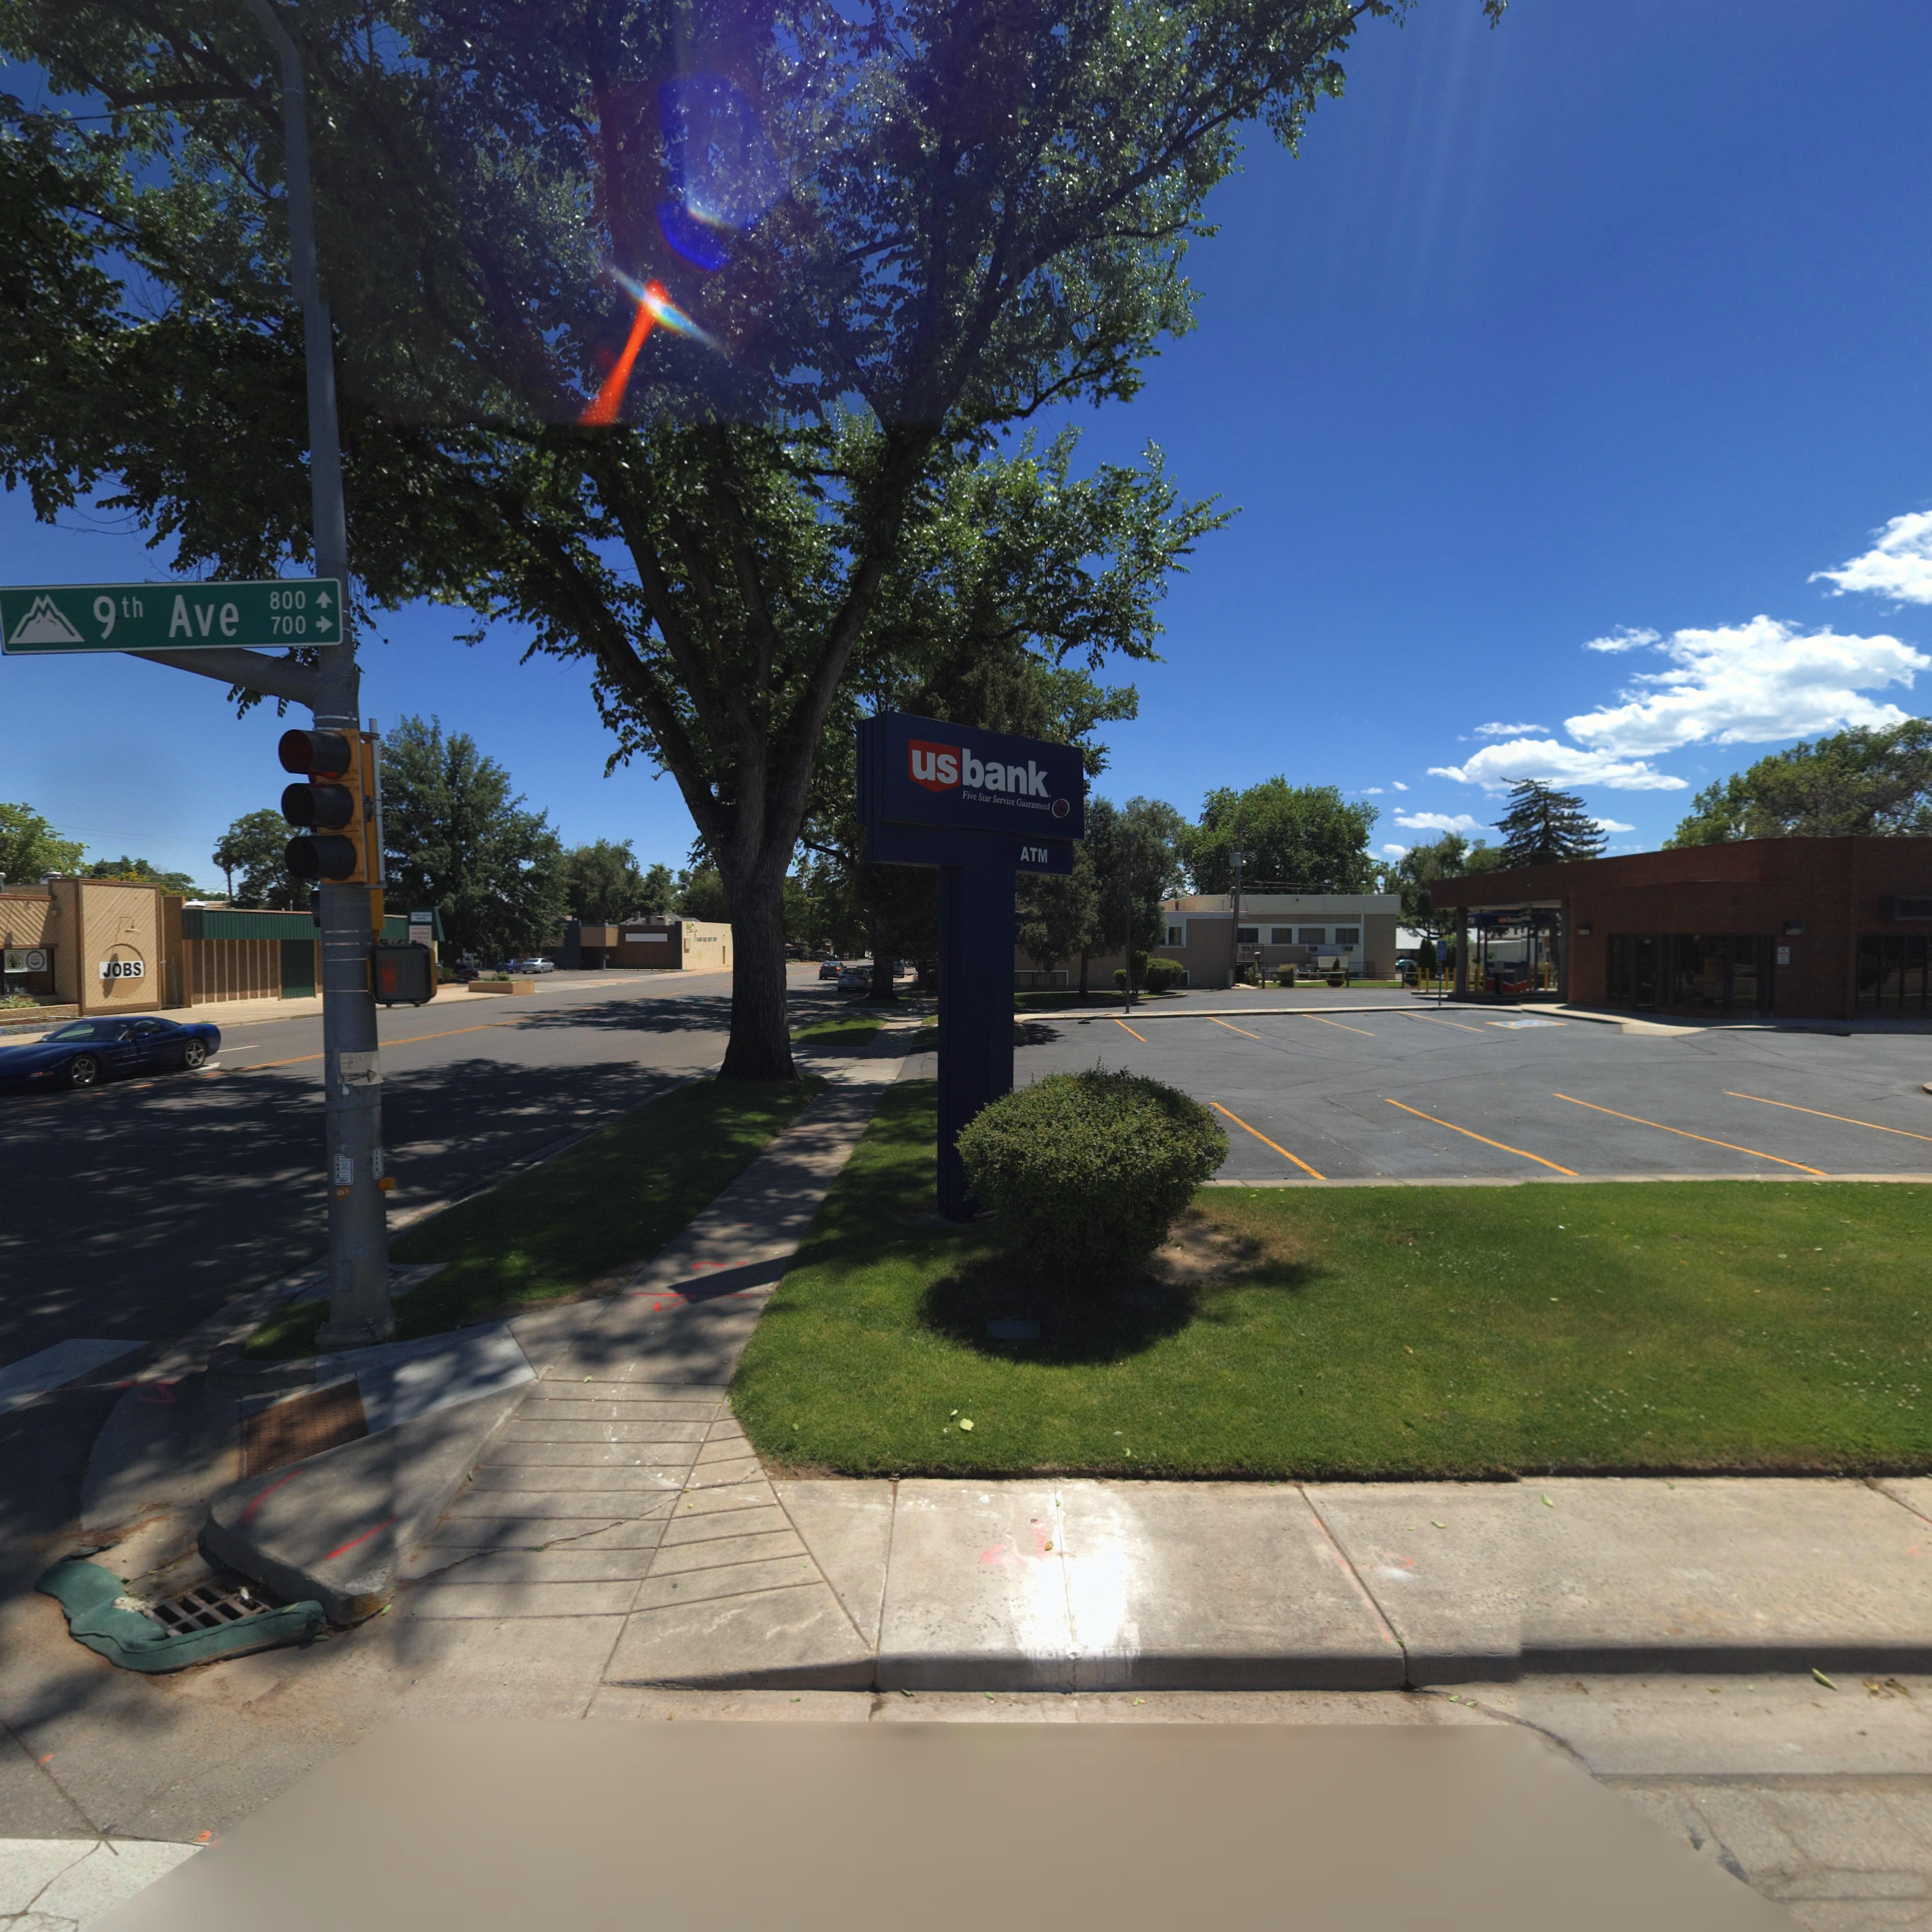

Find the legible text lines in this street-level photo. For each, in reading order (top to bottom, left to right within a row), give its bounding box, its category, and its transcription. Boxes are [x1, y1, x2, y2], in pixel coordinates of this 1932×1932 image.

[269, 589, 306, 611] StreetNumberRange: 800
[92, 592, 242, 641] StreetName: 9th Ave
[269, 614, 335, 635] StreetNumberRange: 700->
[910, 747, 1049, 798] BusinessName: usbank
[1498, 916, 1522, 922] BusinessName: usban